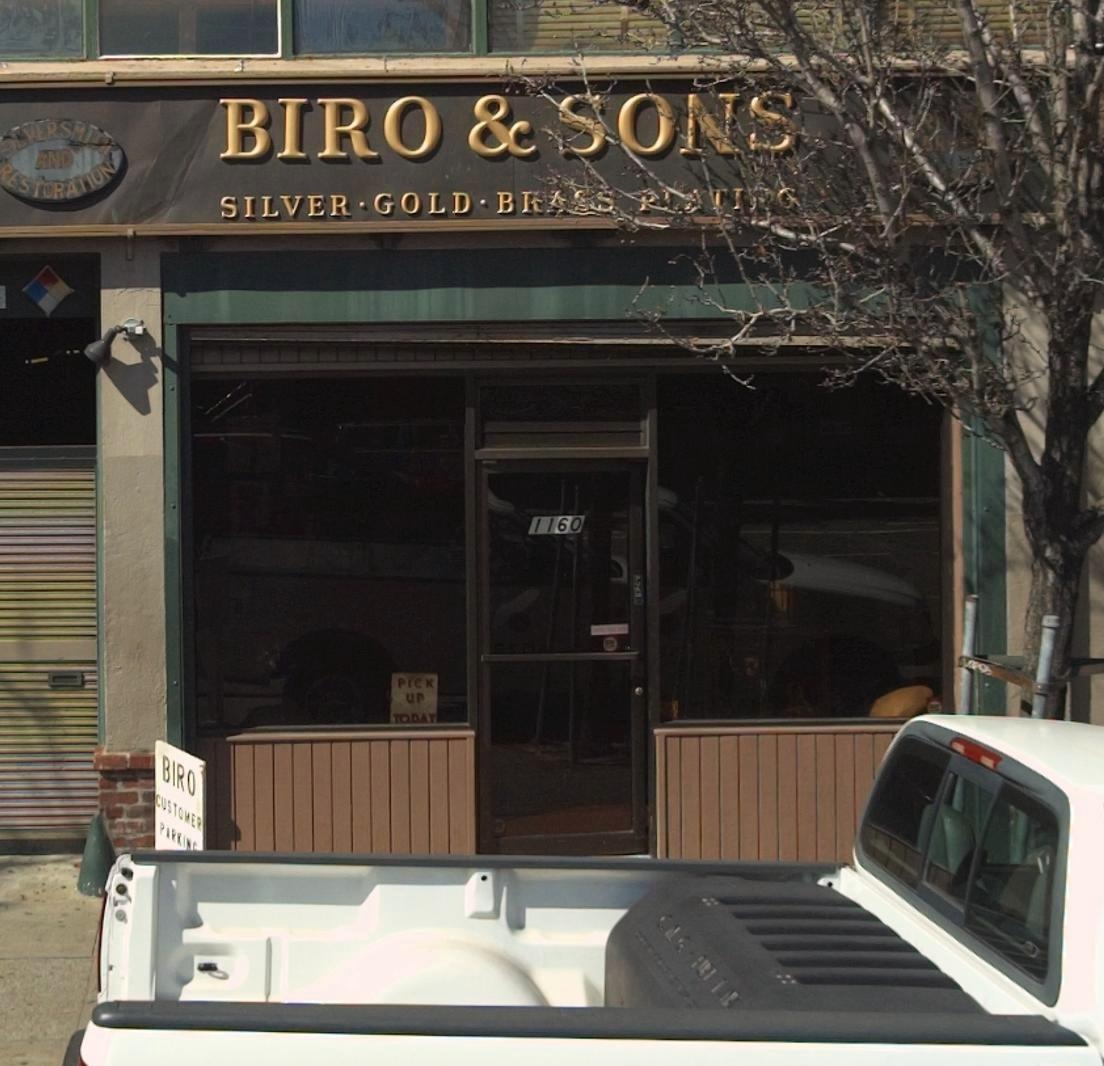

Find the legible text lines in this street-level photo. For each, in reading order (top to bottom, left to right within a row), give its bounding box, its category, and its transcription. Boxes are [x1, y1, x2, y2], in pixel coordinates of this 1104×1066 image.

[0, 115, 109, 159] None: S*LVERSMIT
[214, 89, 800, 166] BusinessName: BIRO & SONS
[33, 148, 76, 172] None: AND
[0, 157, 121, 202] None: RESTORATION
[216, 186, 546, 223] None: SILVER*GOLD*B
[528, 513, 587, 536] StreetNumber: 1160
[633, 575, 642, 589] None: PU
[404, 690, 427, 705] None: UP
[395, 674, 438, 692] None: PICK
[391, 710, 438, 726] None: TODAY
[160, 750, 198, 803] BusinessName: BIRO
[153, 790, 203, 834] None: CUSTOMER
[157, 817, 193, 854] None: PARKIN